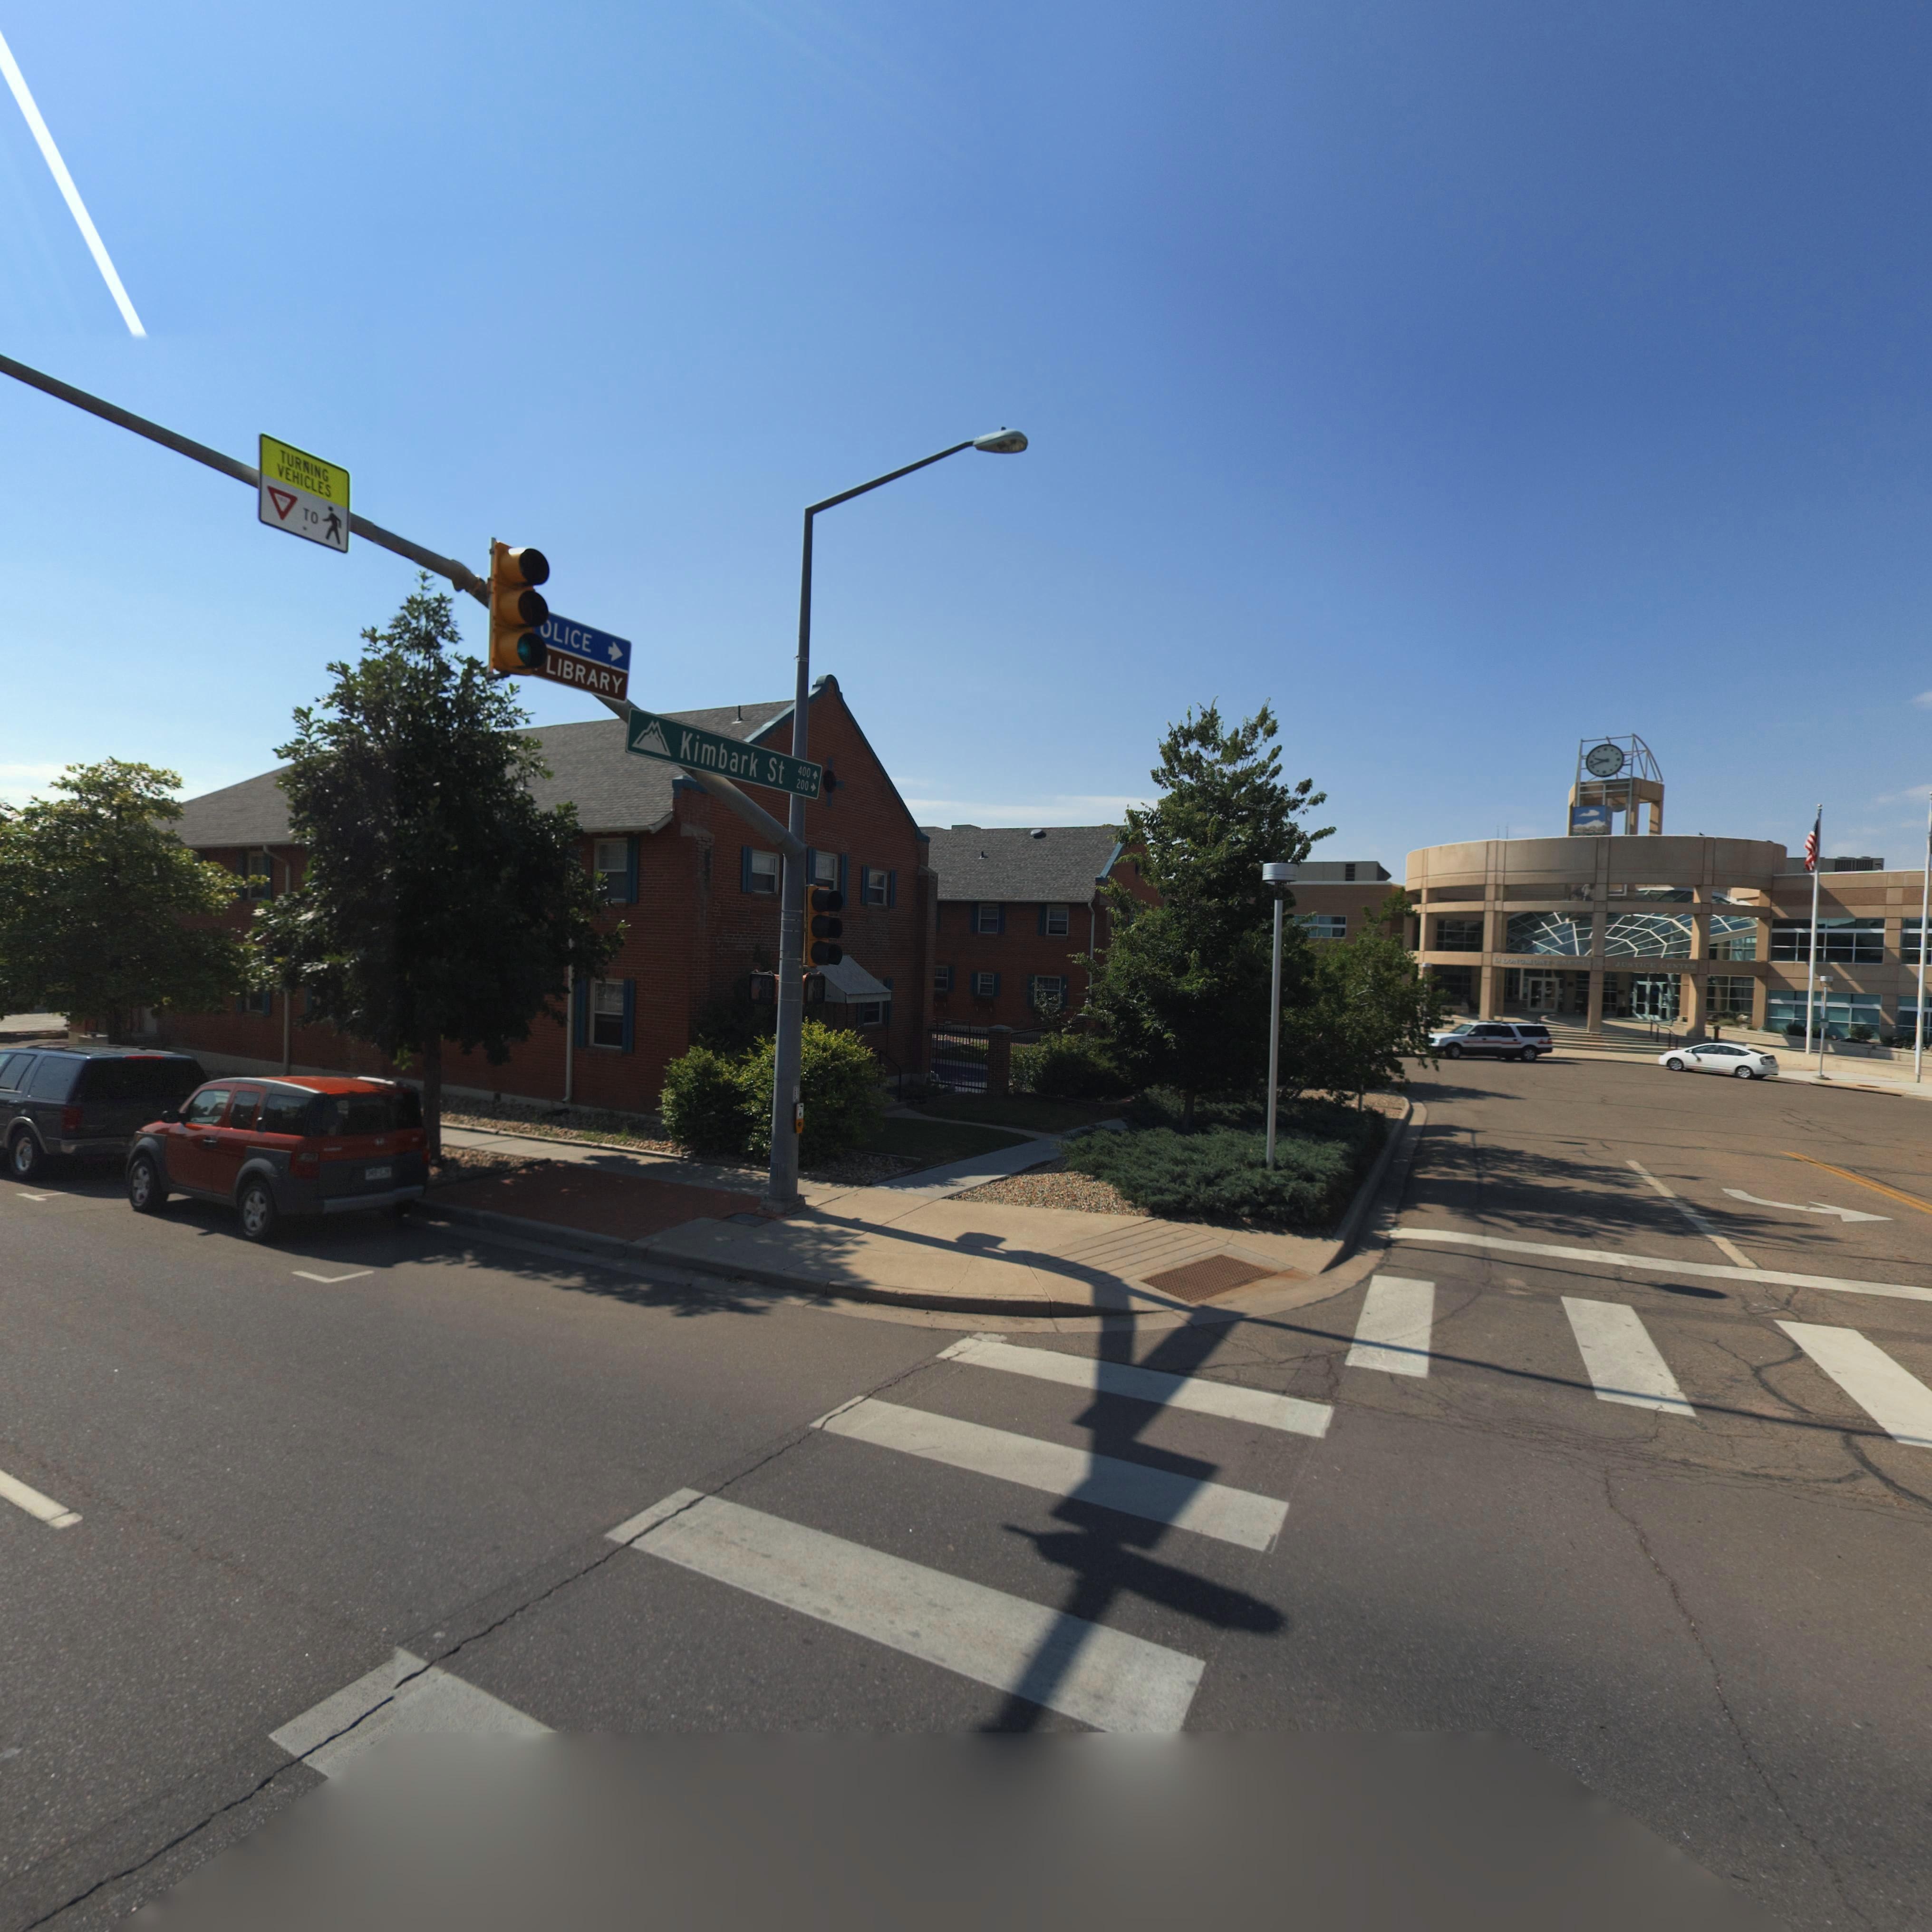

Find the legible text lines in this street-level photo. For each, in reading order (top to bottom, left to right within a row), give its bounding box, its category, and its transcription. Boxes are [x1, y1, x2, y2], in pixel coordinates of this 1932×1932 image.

[680, 730, 785, 785] StreetName: Kimbark St
[797, 765, 811, 778] StreetNumberRange: 400
[796, 778, 816, 792] StreetNumberRange: 200 ->
[1502, 958, 1695, 969] BusinessName: LONGMONT SA**TY *** JUSTICE CENTER